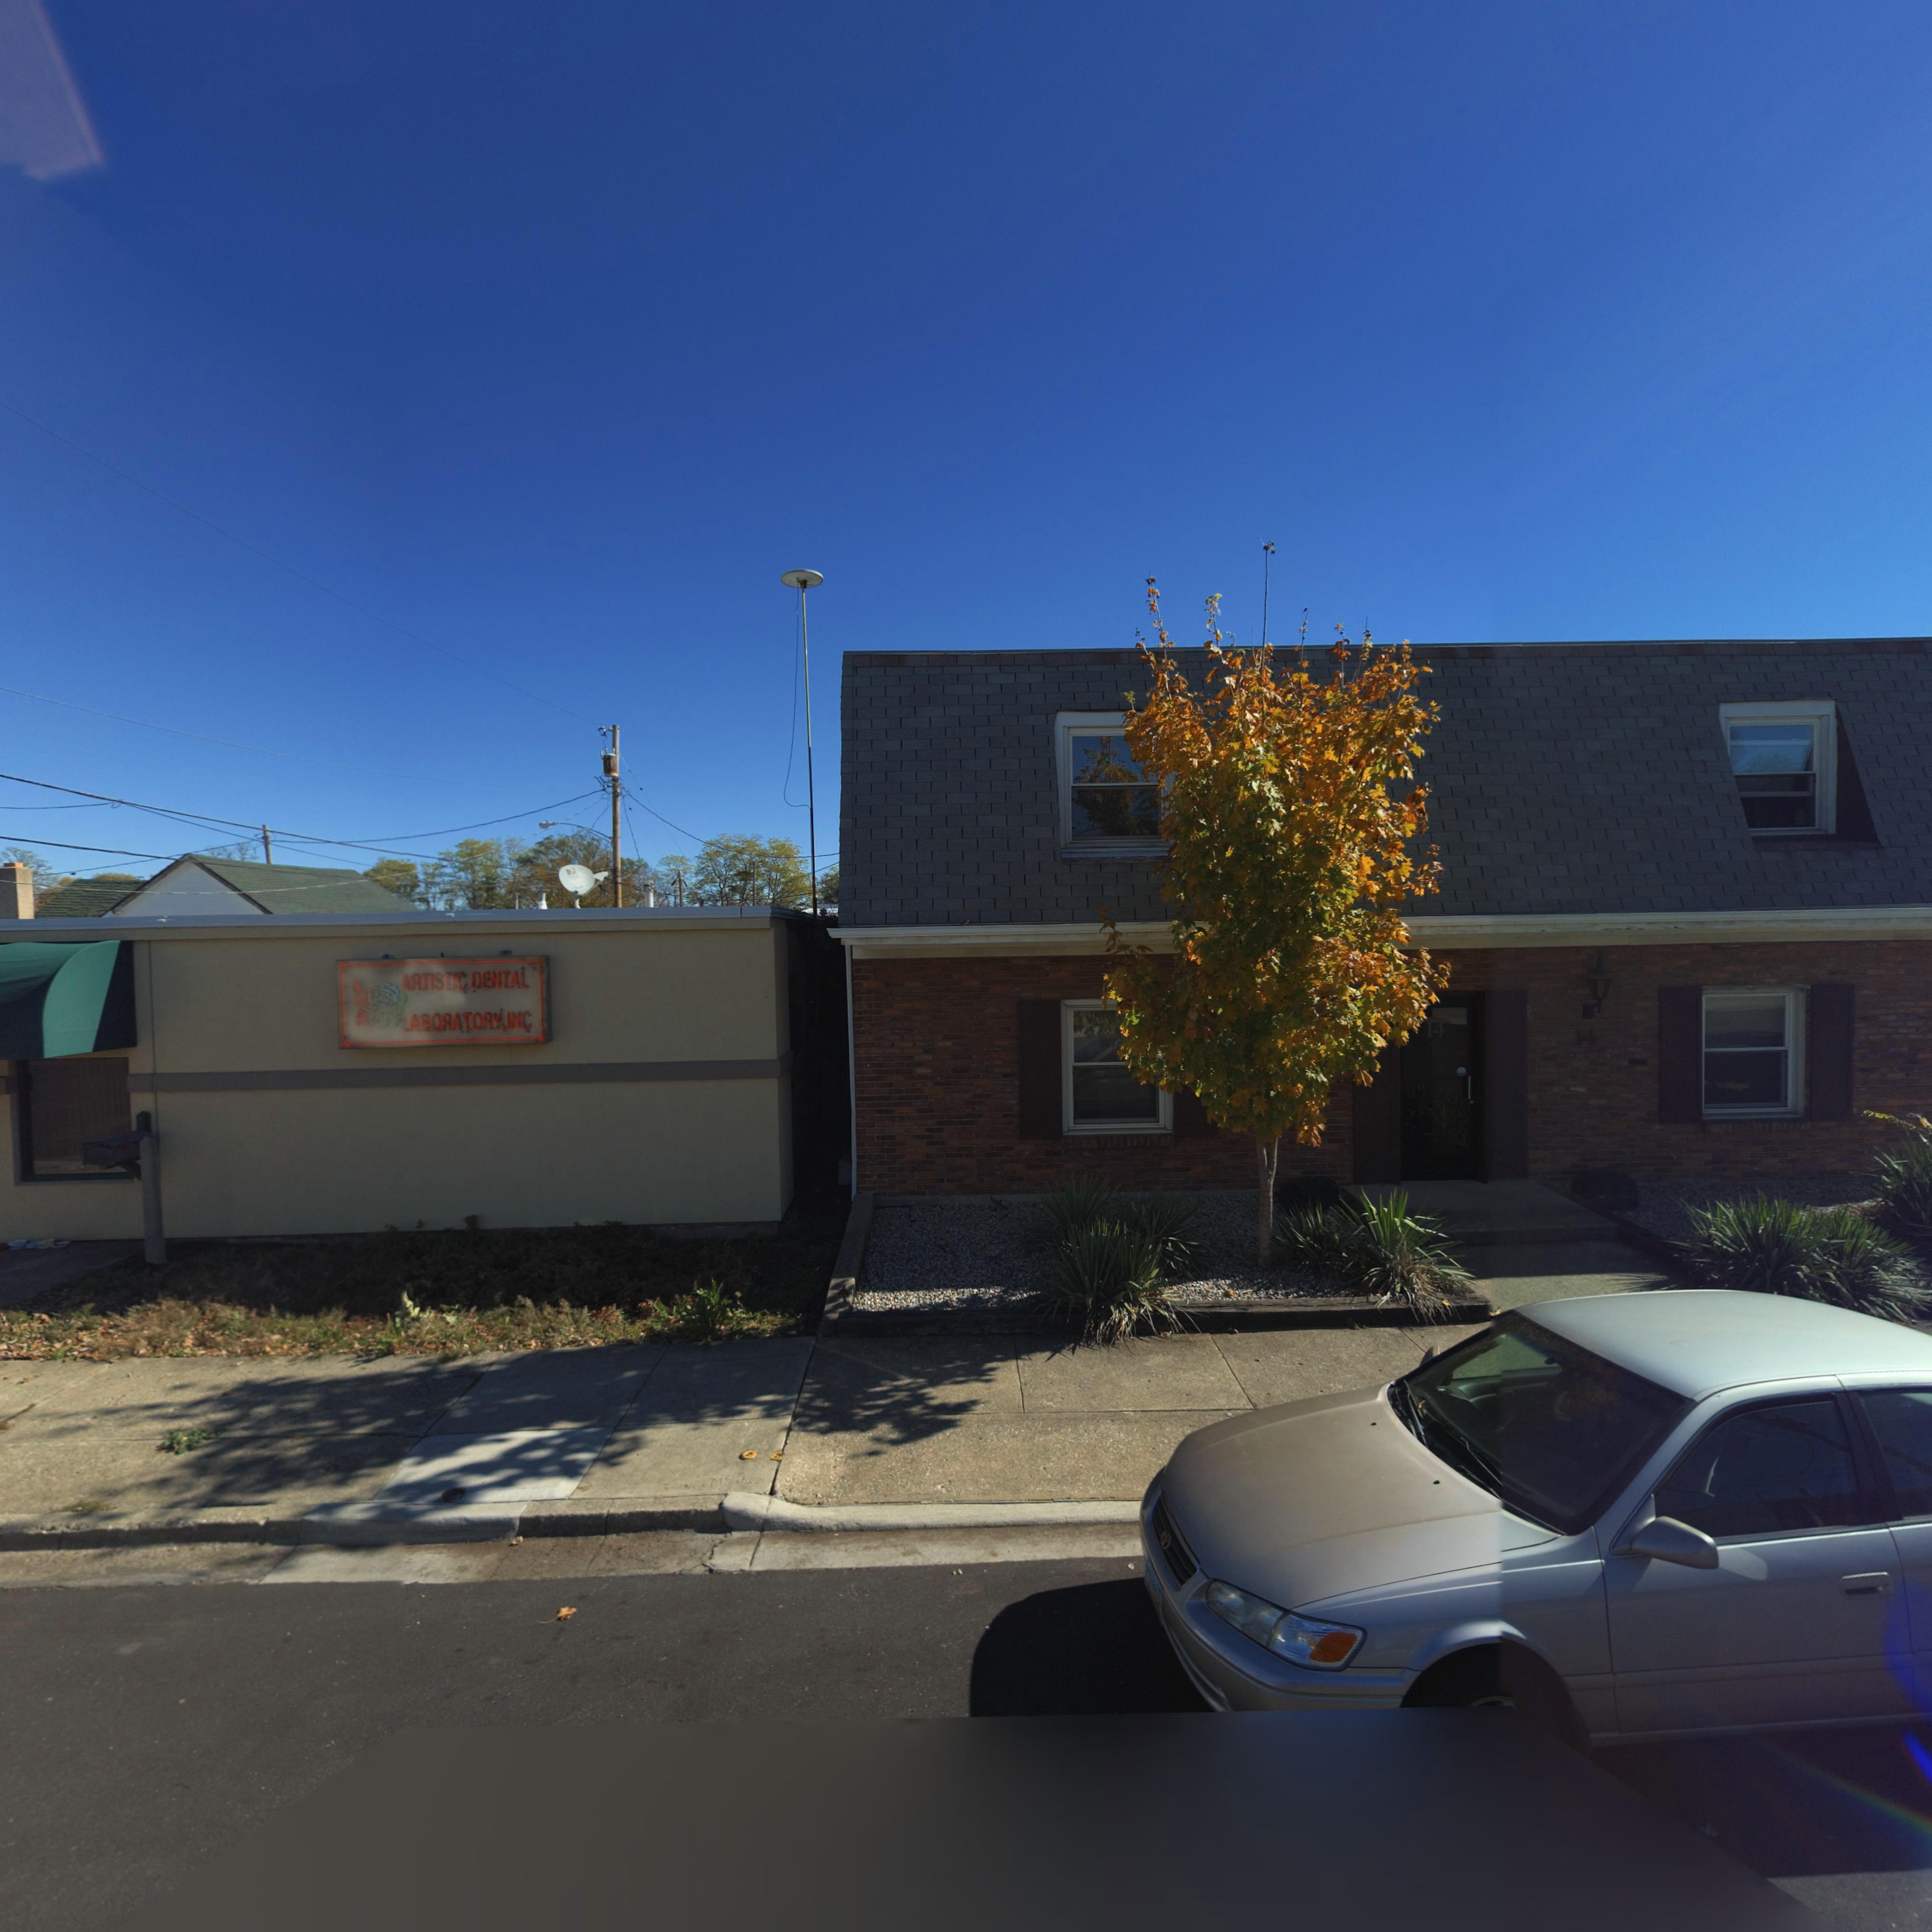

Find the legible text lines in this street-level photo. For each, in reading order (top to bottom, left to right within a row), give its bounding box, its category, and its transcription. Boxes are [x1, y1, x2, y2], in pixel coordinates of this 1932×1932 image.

[399, 971, 530, 992] BusinessName: ARTISTIC DENTAL
[401, 1011, 531, 1034] BusinessName: LABORATORY, INC
[1425, 1021, 1446, 1038] StreetNumber: 14
[1573, 1028, 1595, 1046] StreetNumber: 14